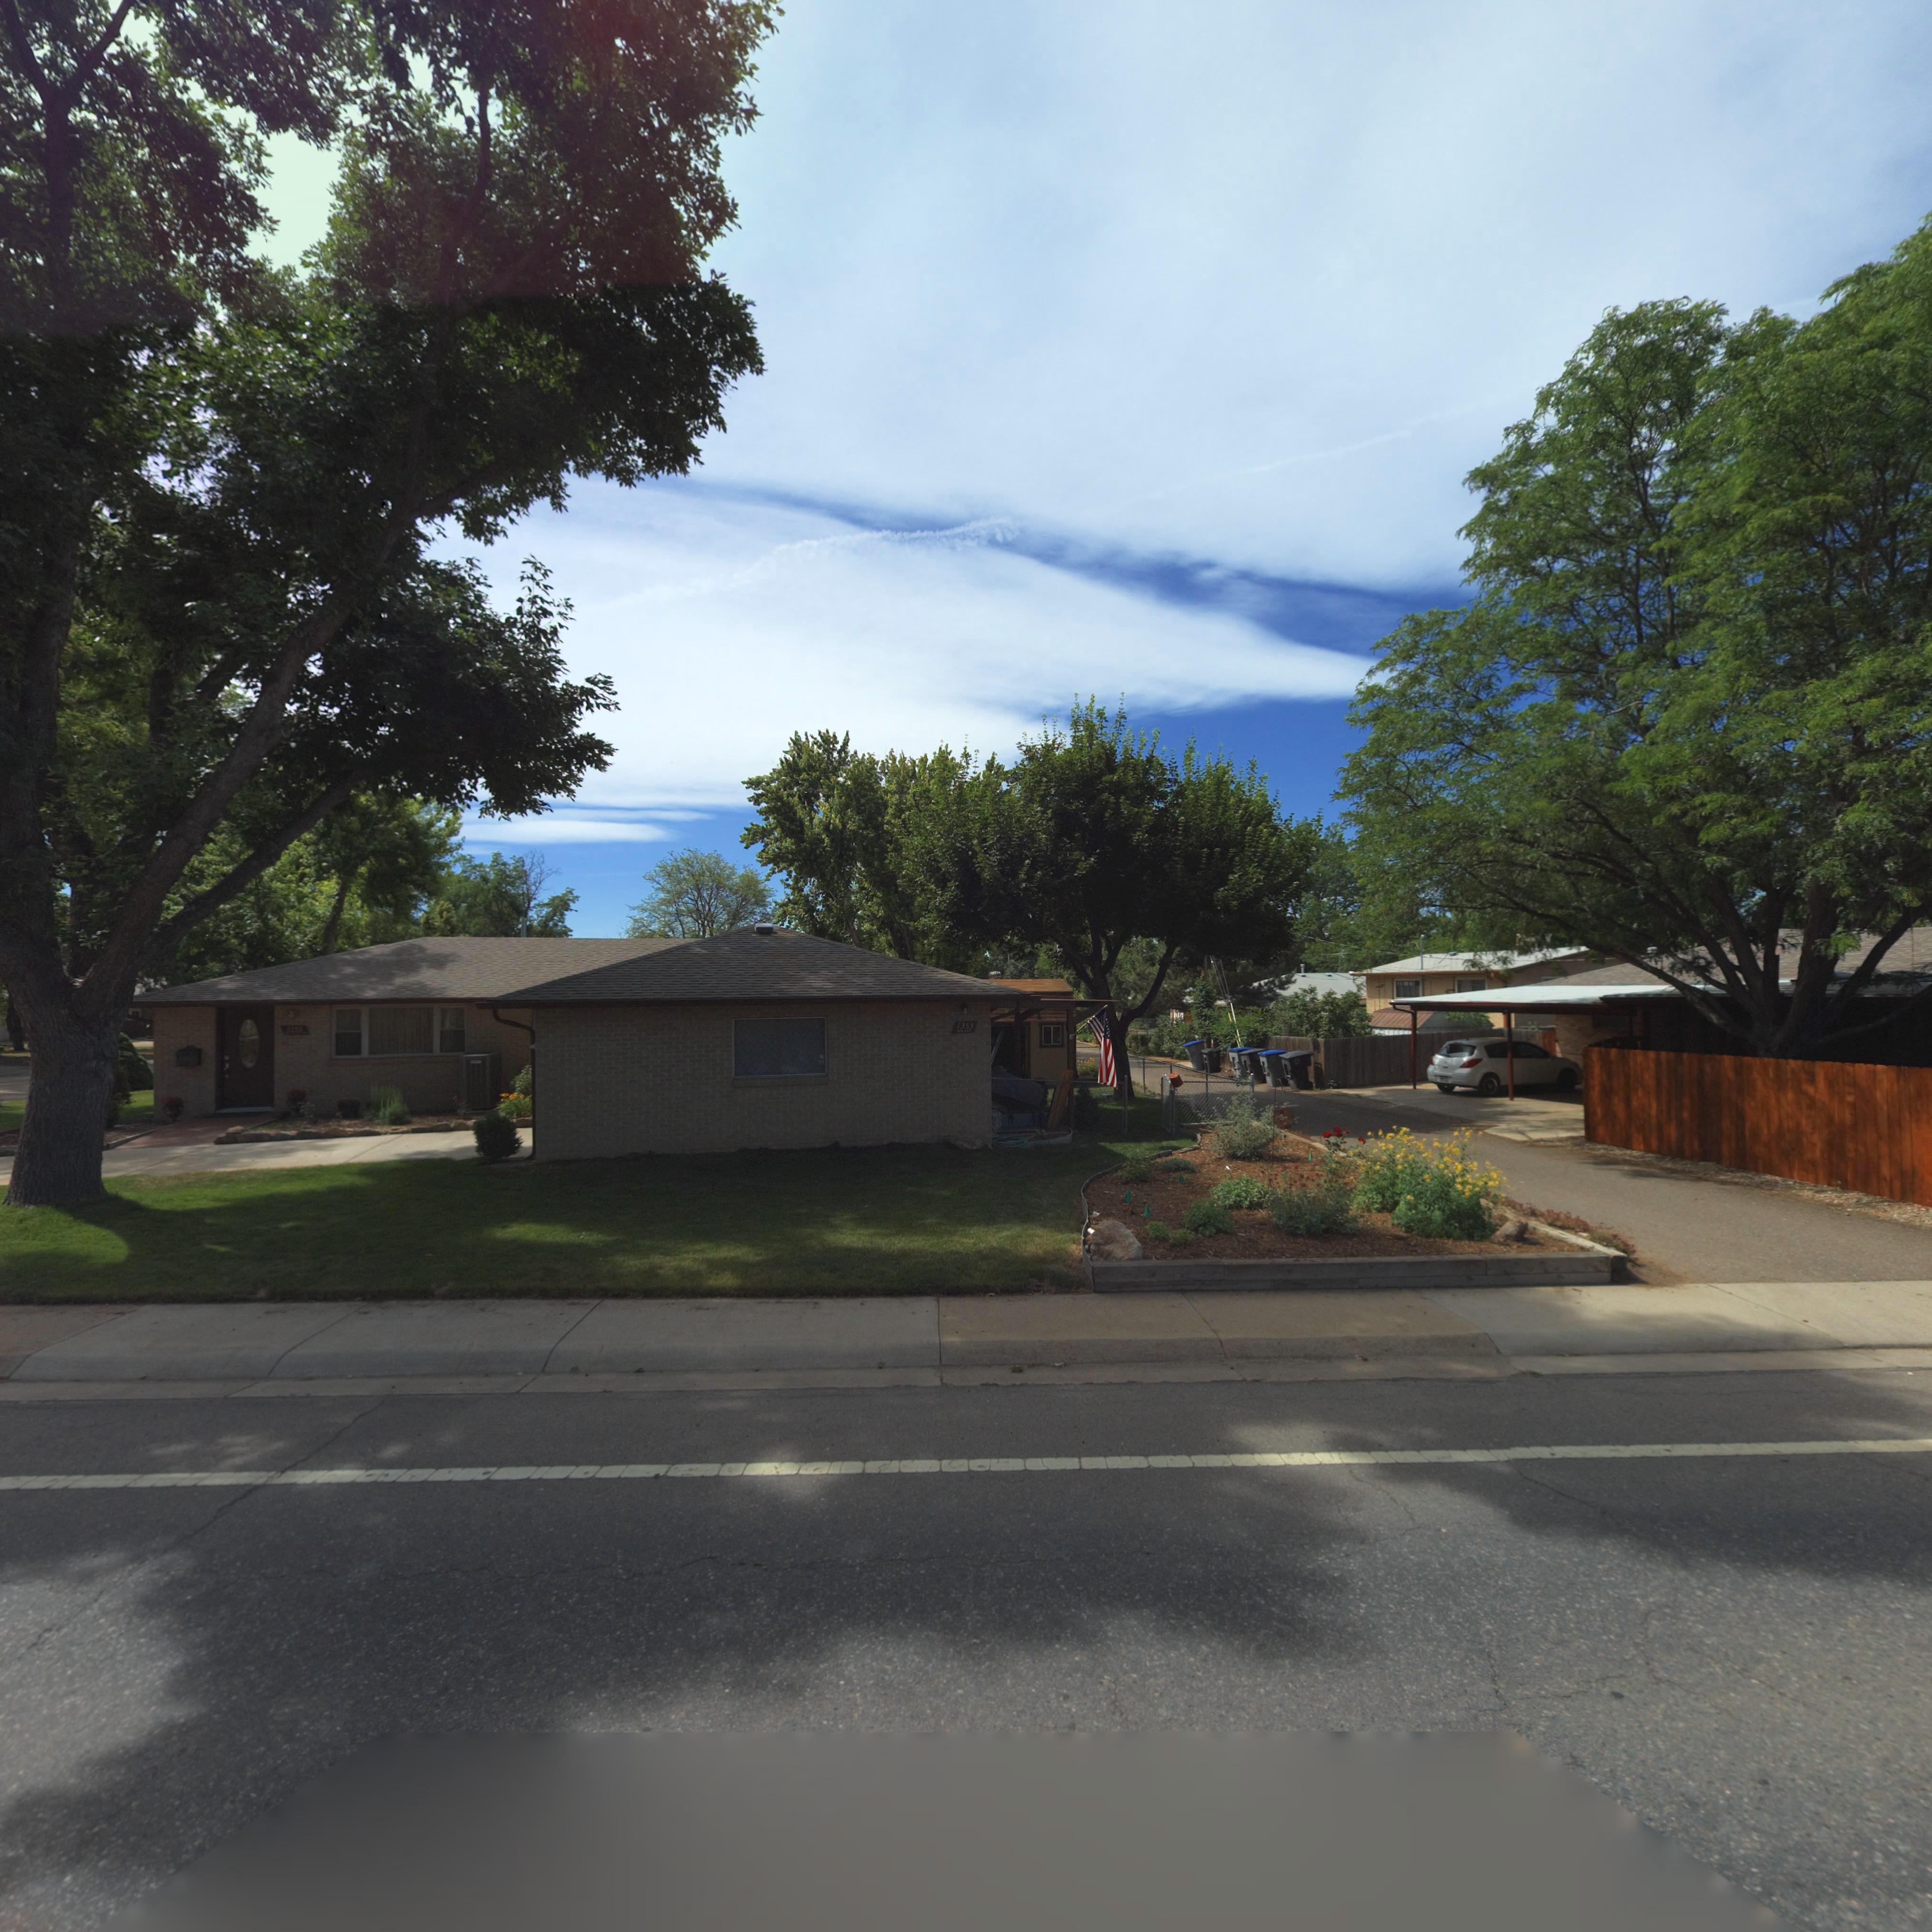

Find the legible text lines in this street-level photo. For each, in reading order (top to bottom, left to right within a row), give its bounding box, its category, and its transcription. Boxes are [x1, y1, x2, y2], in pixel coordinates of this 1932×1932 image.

[956, 1022, 974, 1029] StreetNumber: 1353